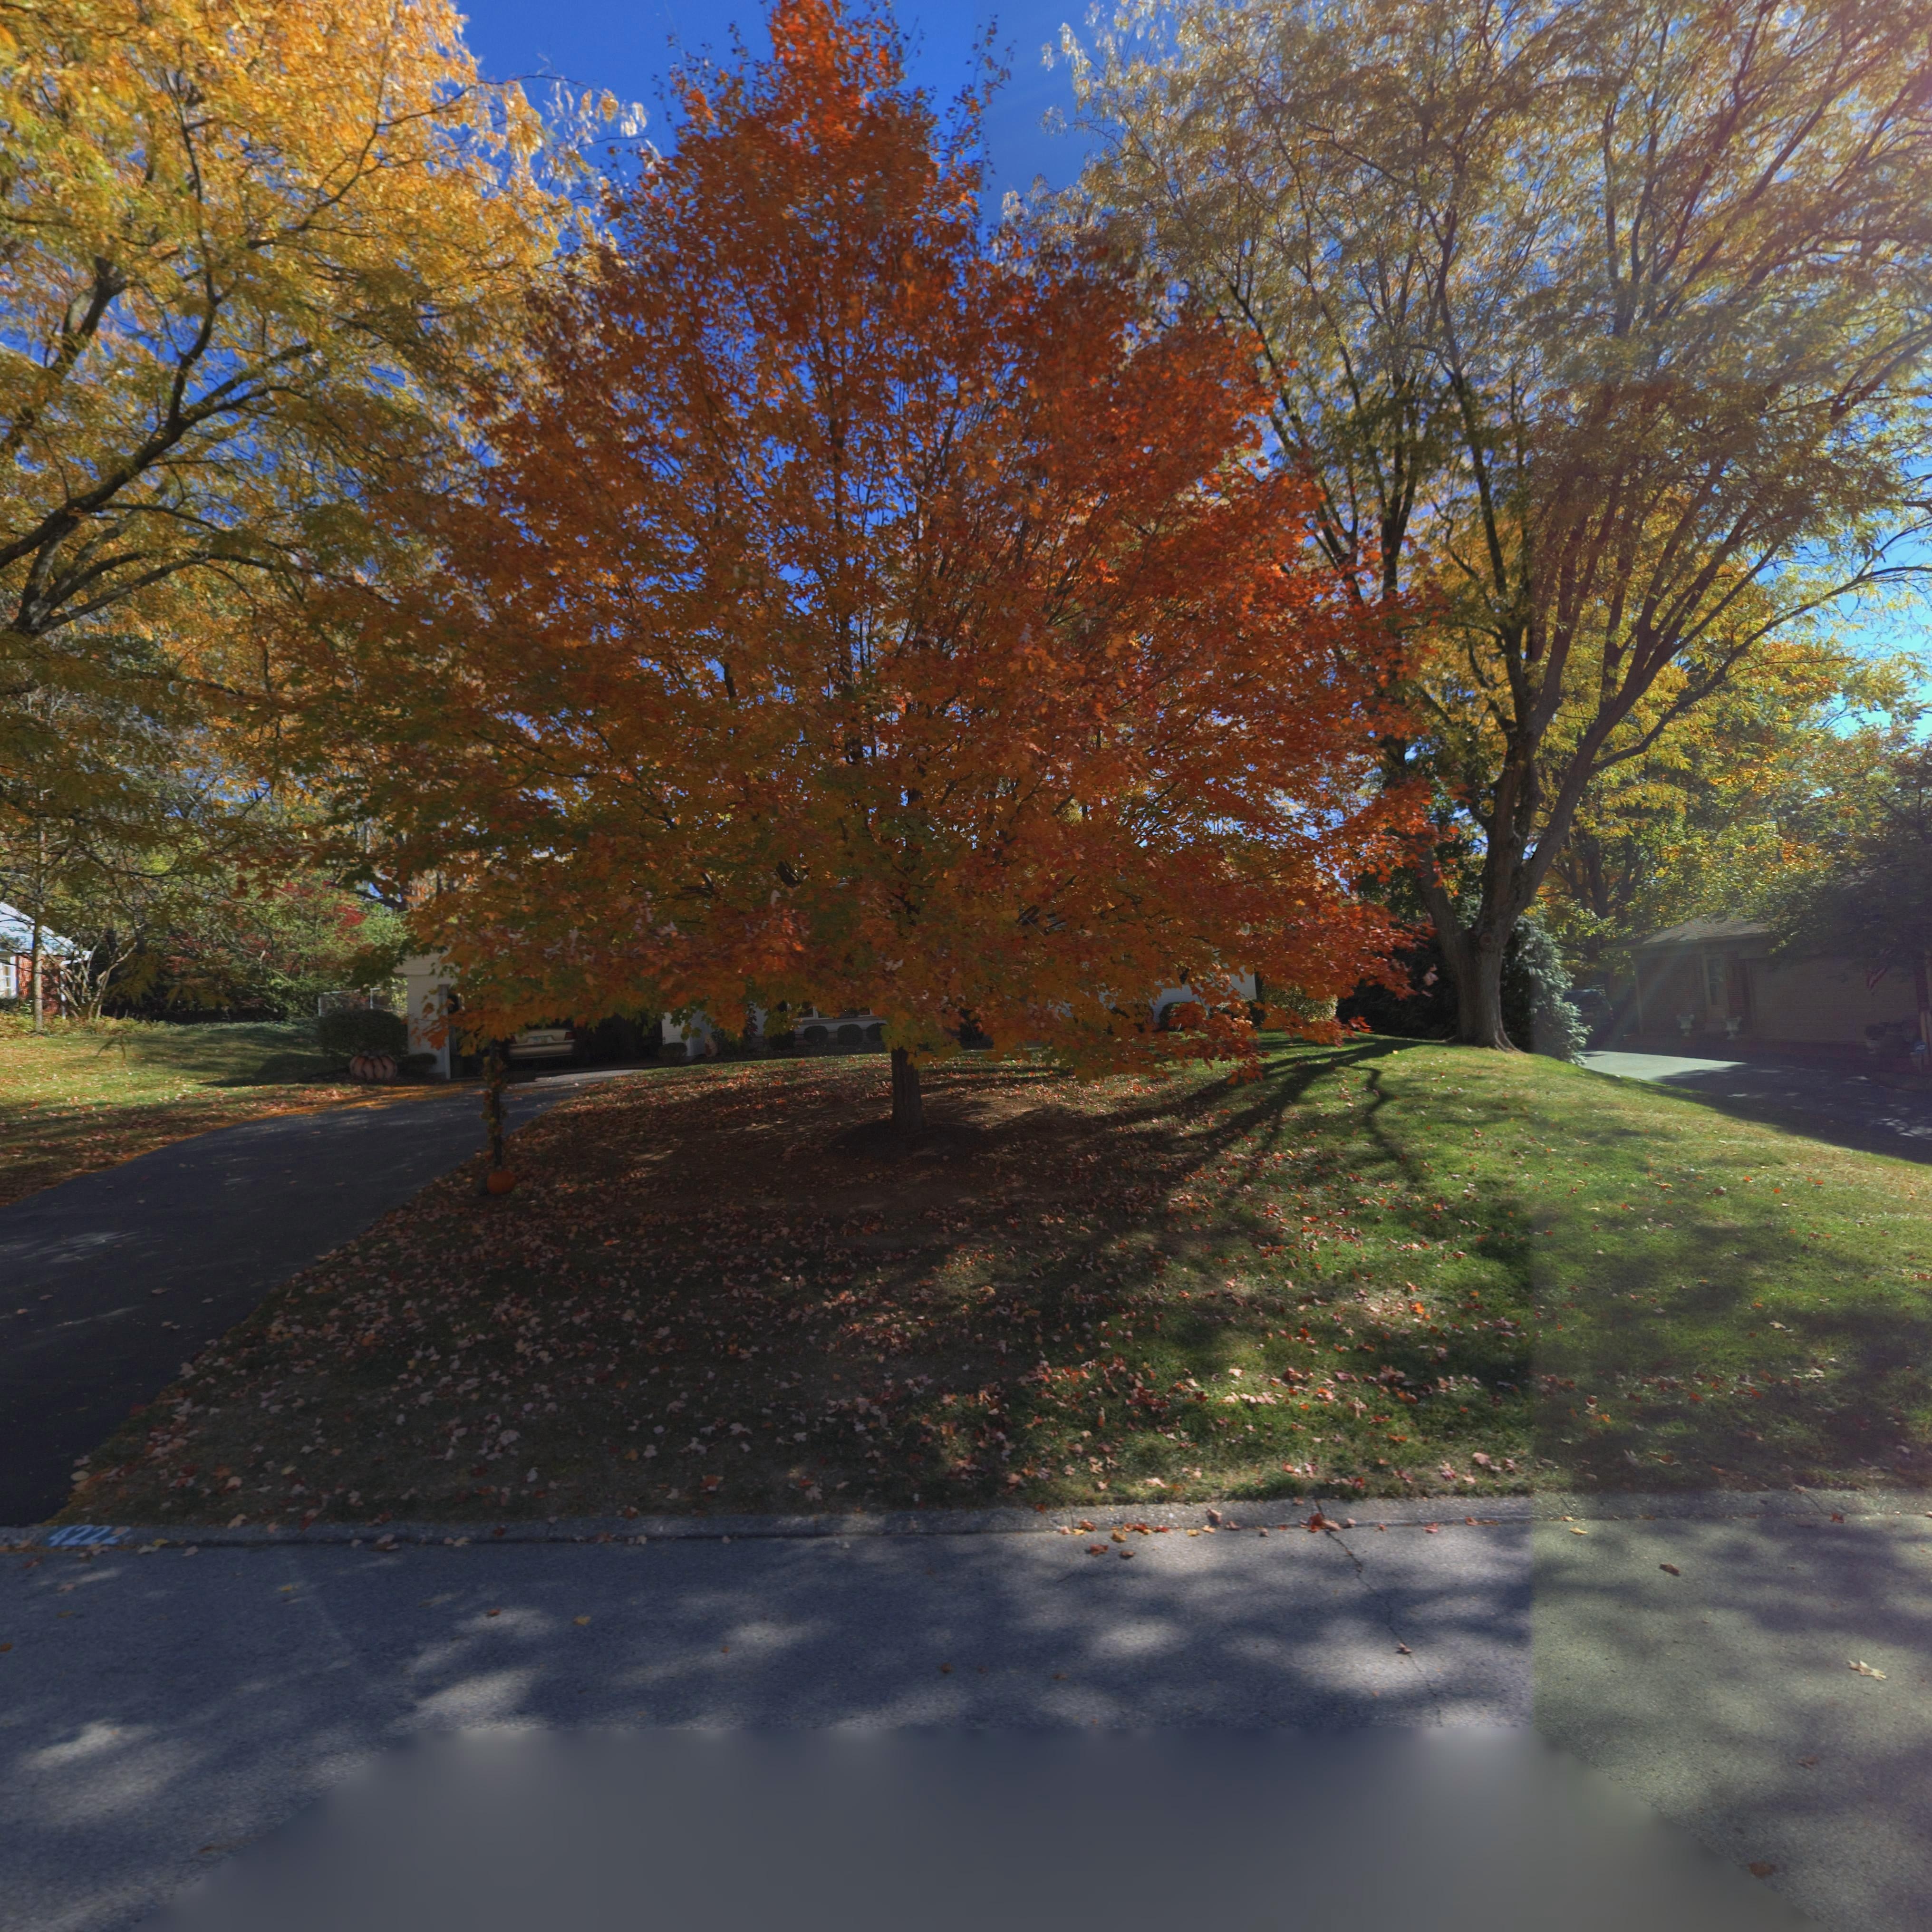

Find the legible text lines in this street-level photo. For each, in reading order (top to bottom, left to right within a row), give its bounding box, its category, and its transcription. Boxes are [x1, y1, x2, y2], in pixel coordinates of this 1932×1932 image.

[47, 1524, 135, 1546] StreetNumber: 4222